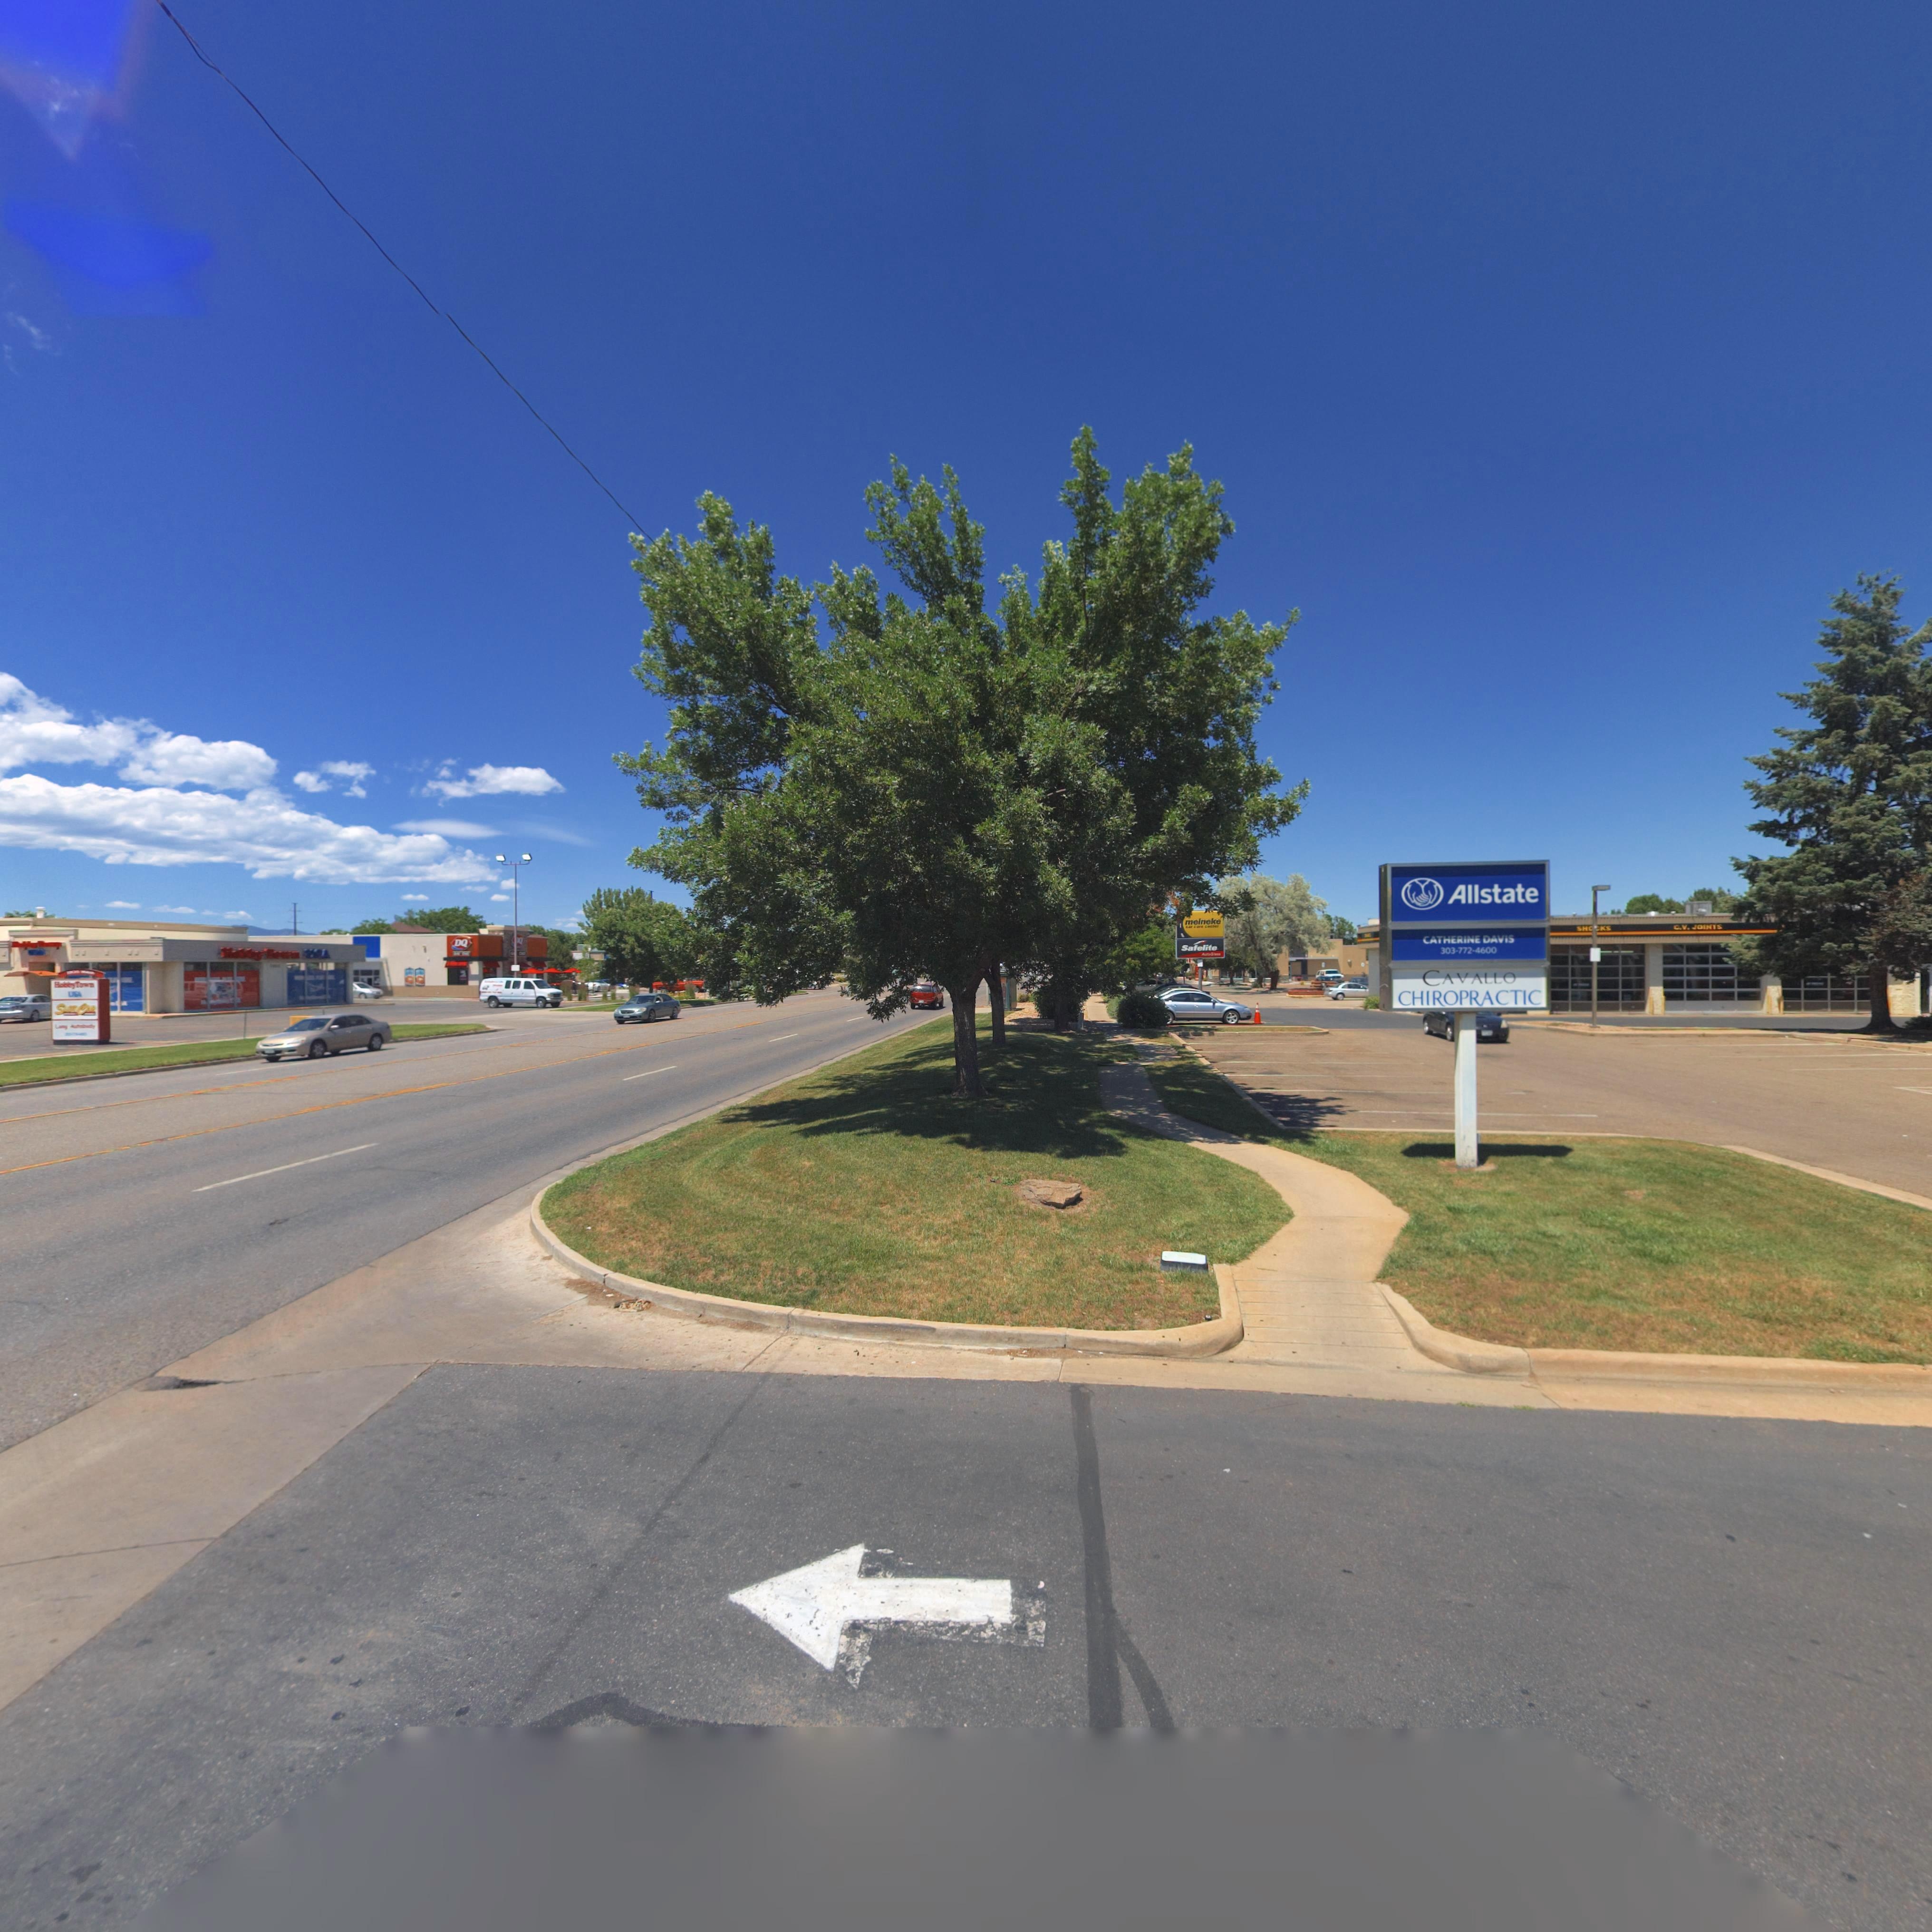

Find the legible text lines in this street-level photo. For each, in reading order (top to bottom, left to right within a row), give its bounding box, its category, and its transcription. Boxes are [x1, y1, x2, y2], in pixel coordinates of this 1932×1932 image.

[1446, 882, 1540, 905] BusinessName: Allstate
[1184, 917, 1221, 926] BusinessName: meineke
[454, 938, 468, 947] BusinessName: DQ
[515, 936, 523, 945] BusinessName: *Q
[1180, 944, 1217, 951] BusinessName: Safelite
[221, 947, 331, 961] BusinessName: Hobby Town USA
[54, 980, 94, 989] BusinessName: Hobby Town 
[67, 990, 82, 997] BusinessName: USA
[53, 1002, 96, 1015] BusinessName: S*** C**